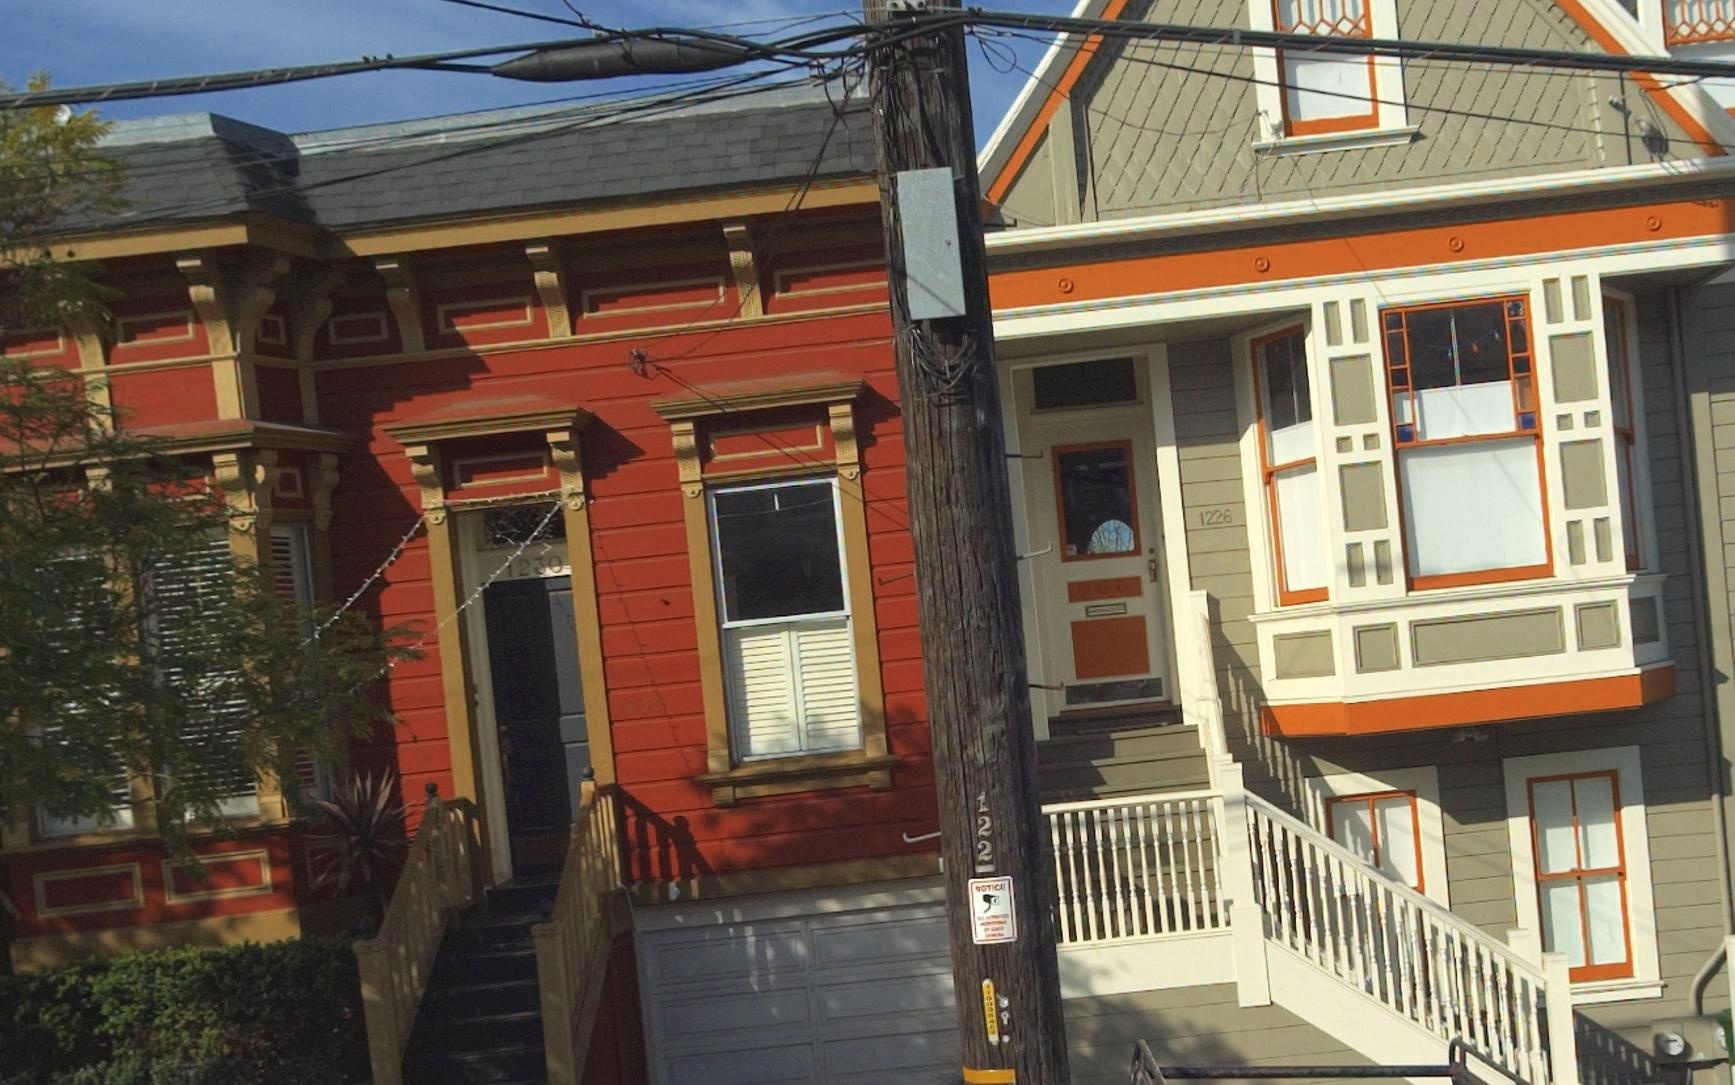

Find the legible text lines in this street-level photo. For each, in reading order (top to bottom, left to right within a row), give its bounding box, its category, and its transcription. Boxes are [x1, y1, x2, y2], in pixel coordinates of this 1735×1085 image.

[1199, 507, 1234, 527] StreetNumber: 1226
[504, 554, 566, 579] StreetNumber: 1230
[974, 789, 998, 864] None: 122
[975, 882, 1006, 894] None: NOTICE